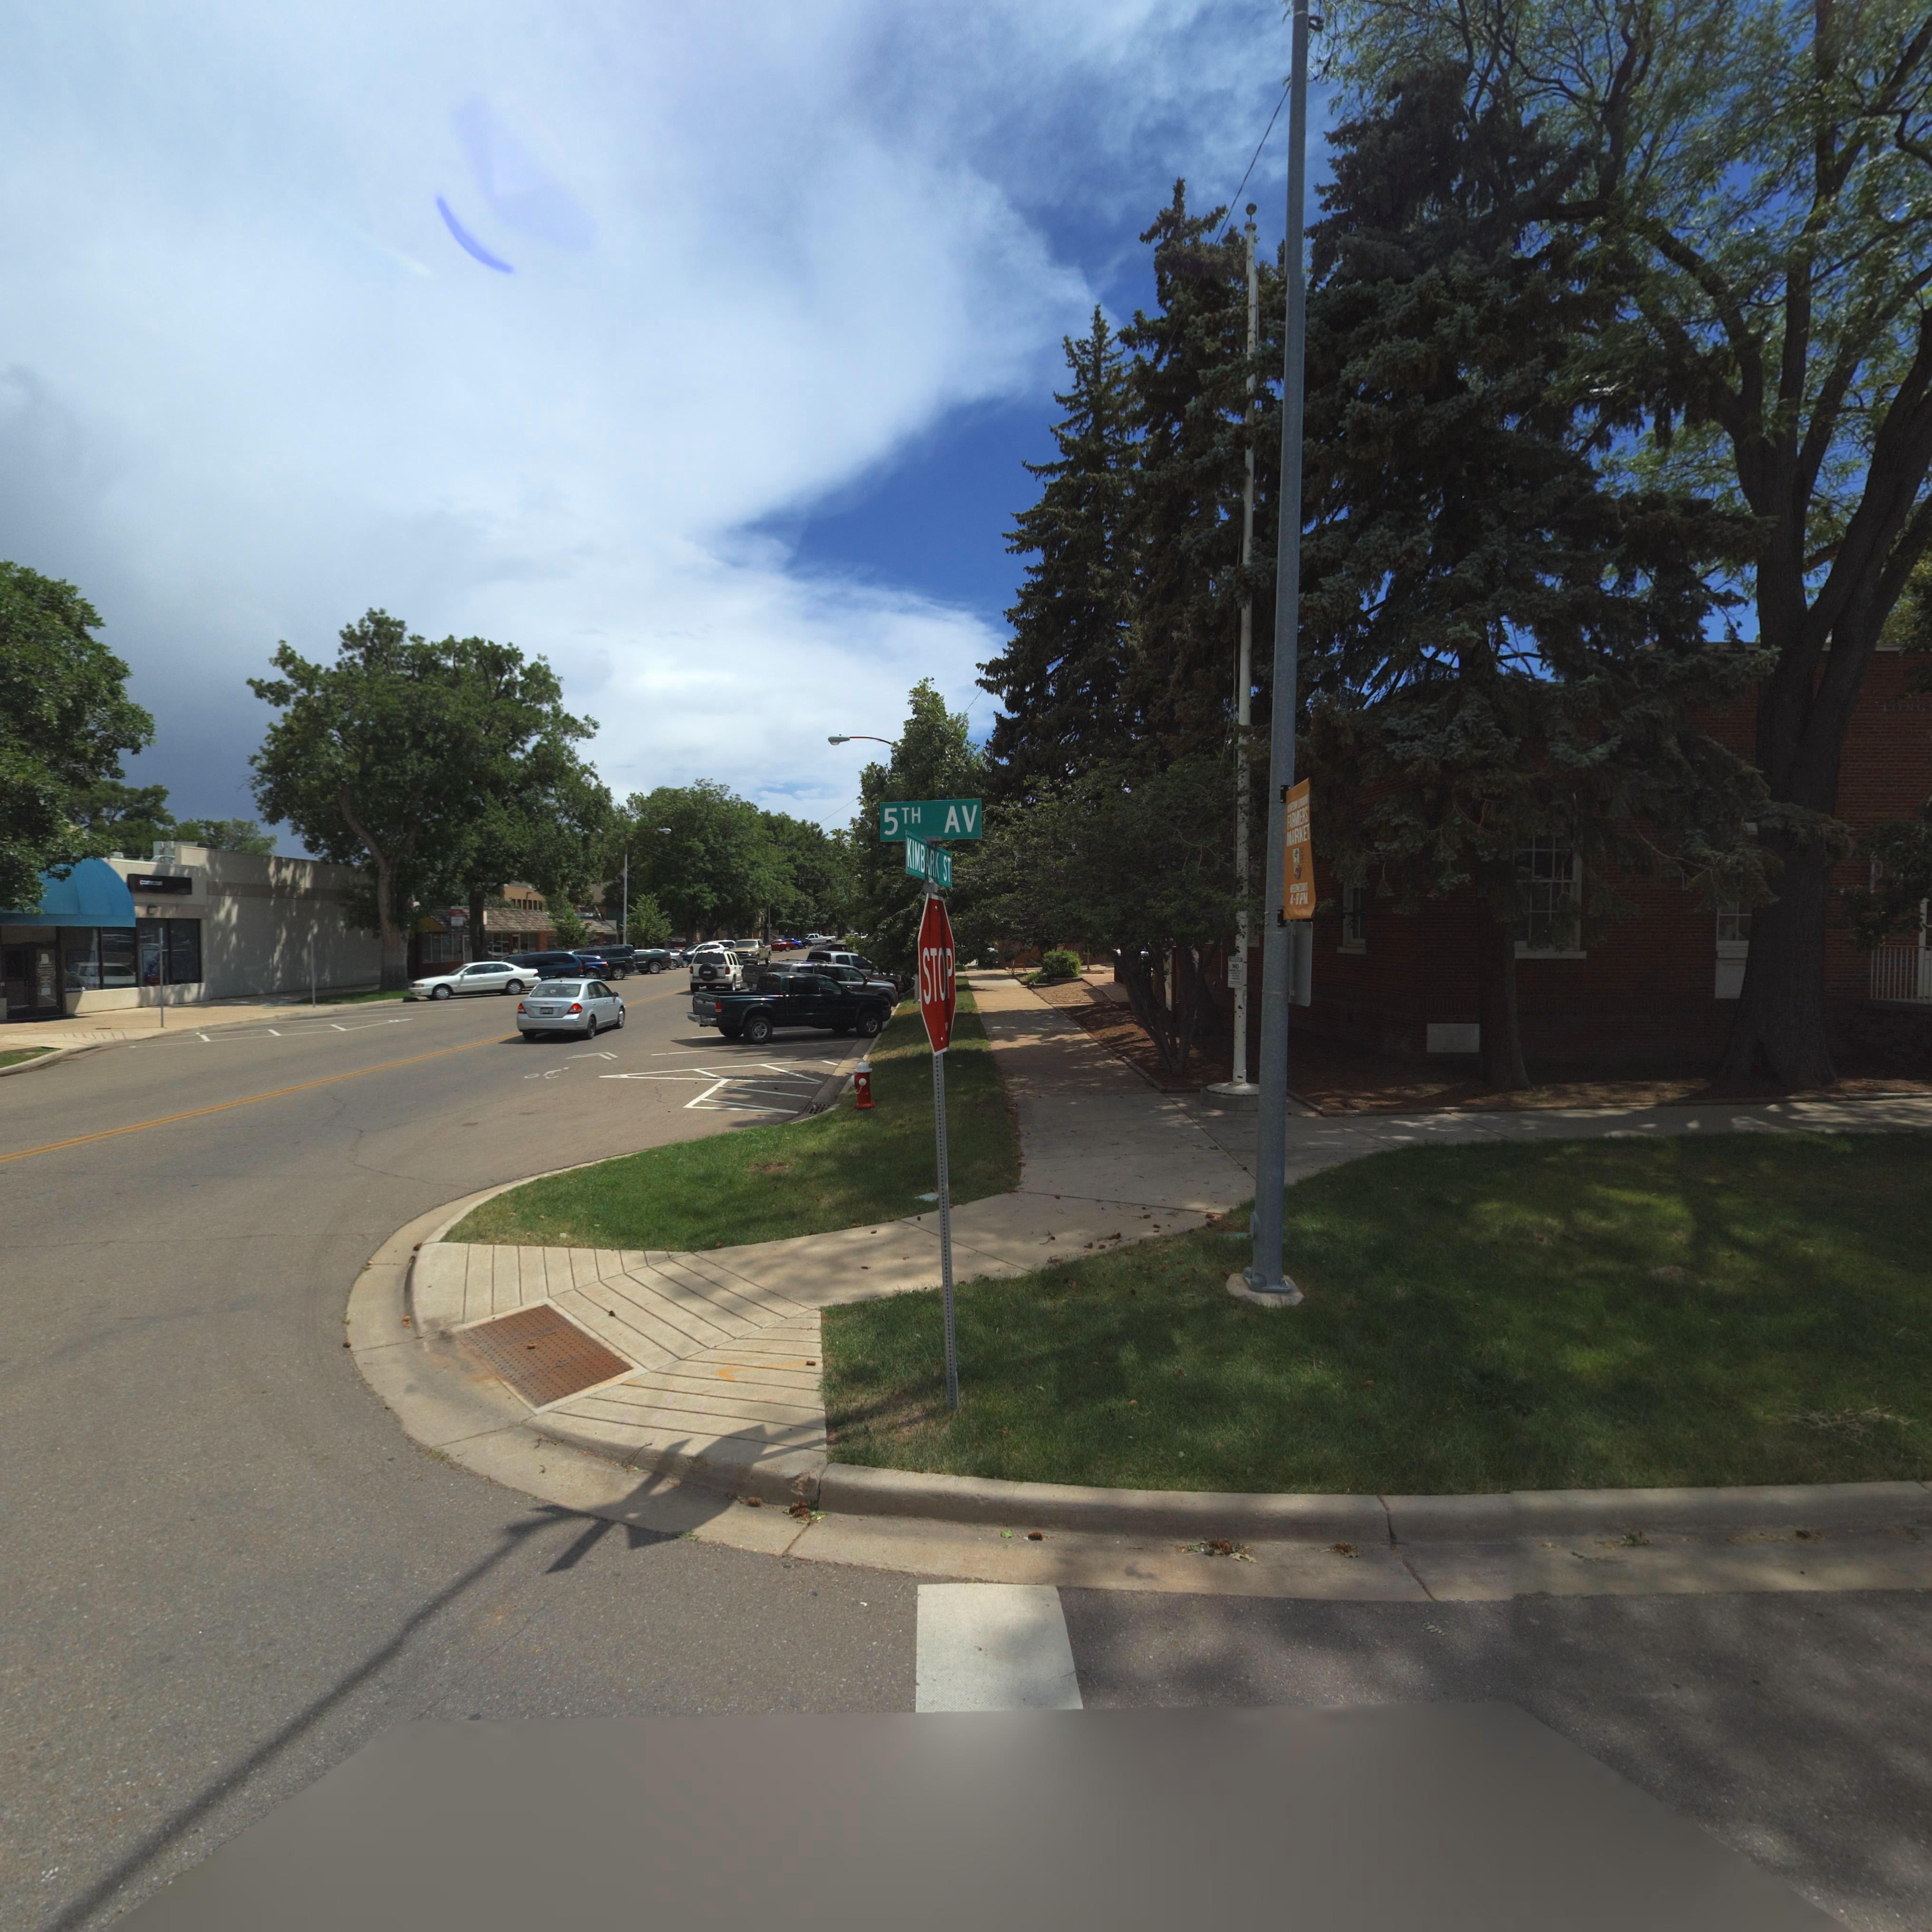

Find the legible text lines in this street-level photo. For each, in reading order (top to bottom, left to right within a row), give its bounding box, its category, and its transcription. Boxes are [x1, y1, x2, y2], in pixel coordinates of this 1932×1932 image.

[884, 804, 978, 836] StreetName: 5TH AV
[907, 836, 951, 884] StreetName: KIMBARK ST
[139, 879, 163, 886] BusinessName: comcast